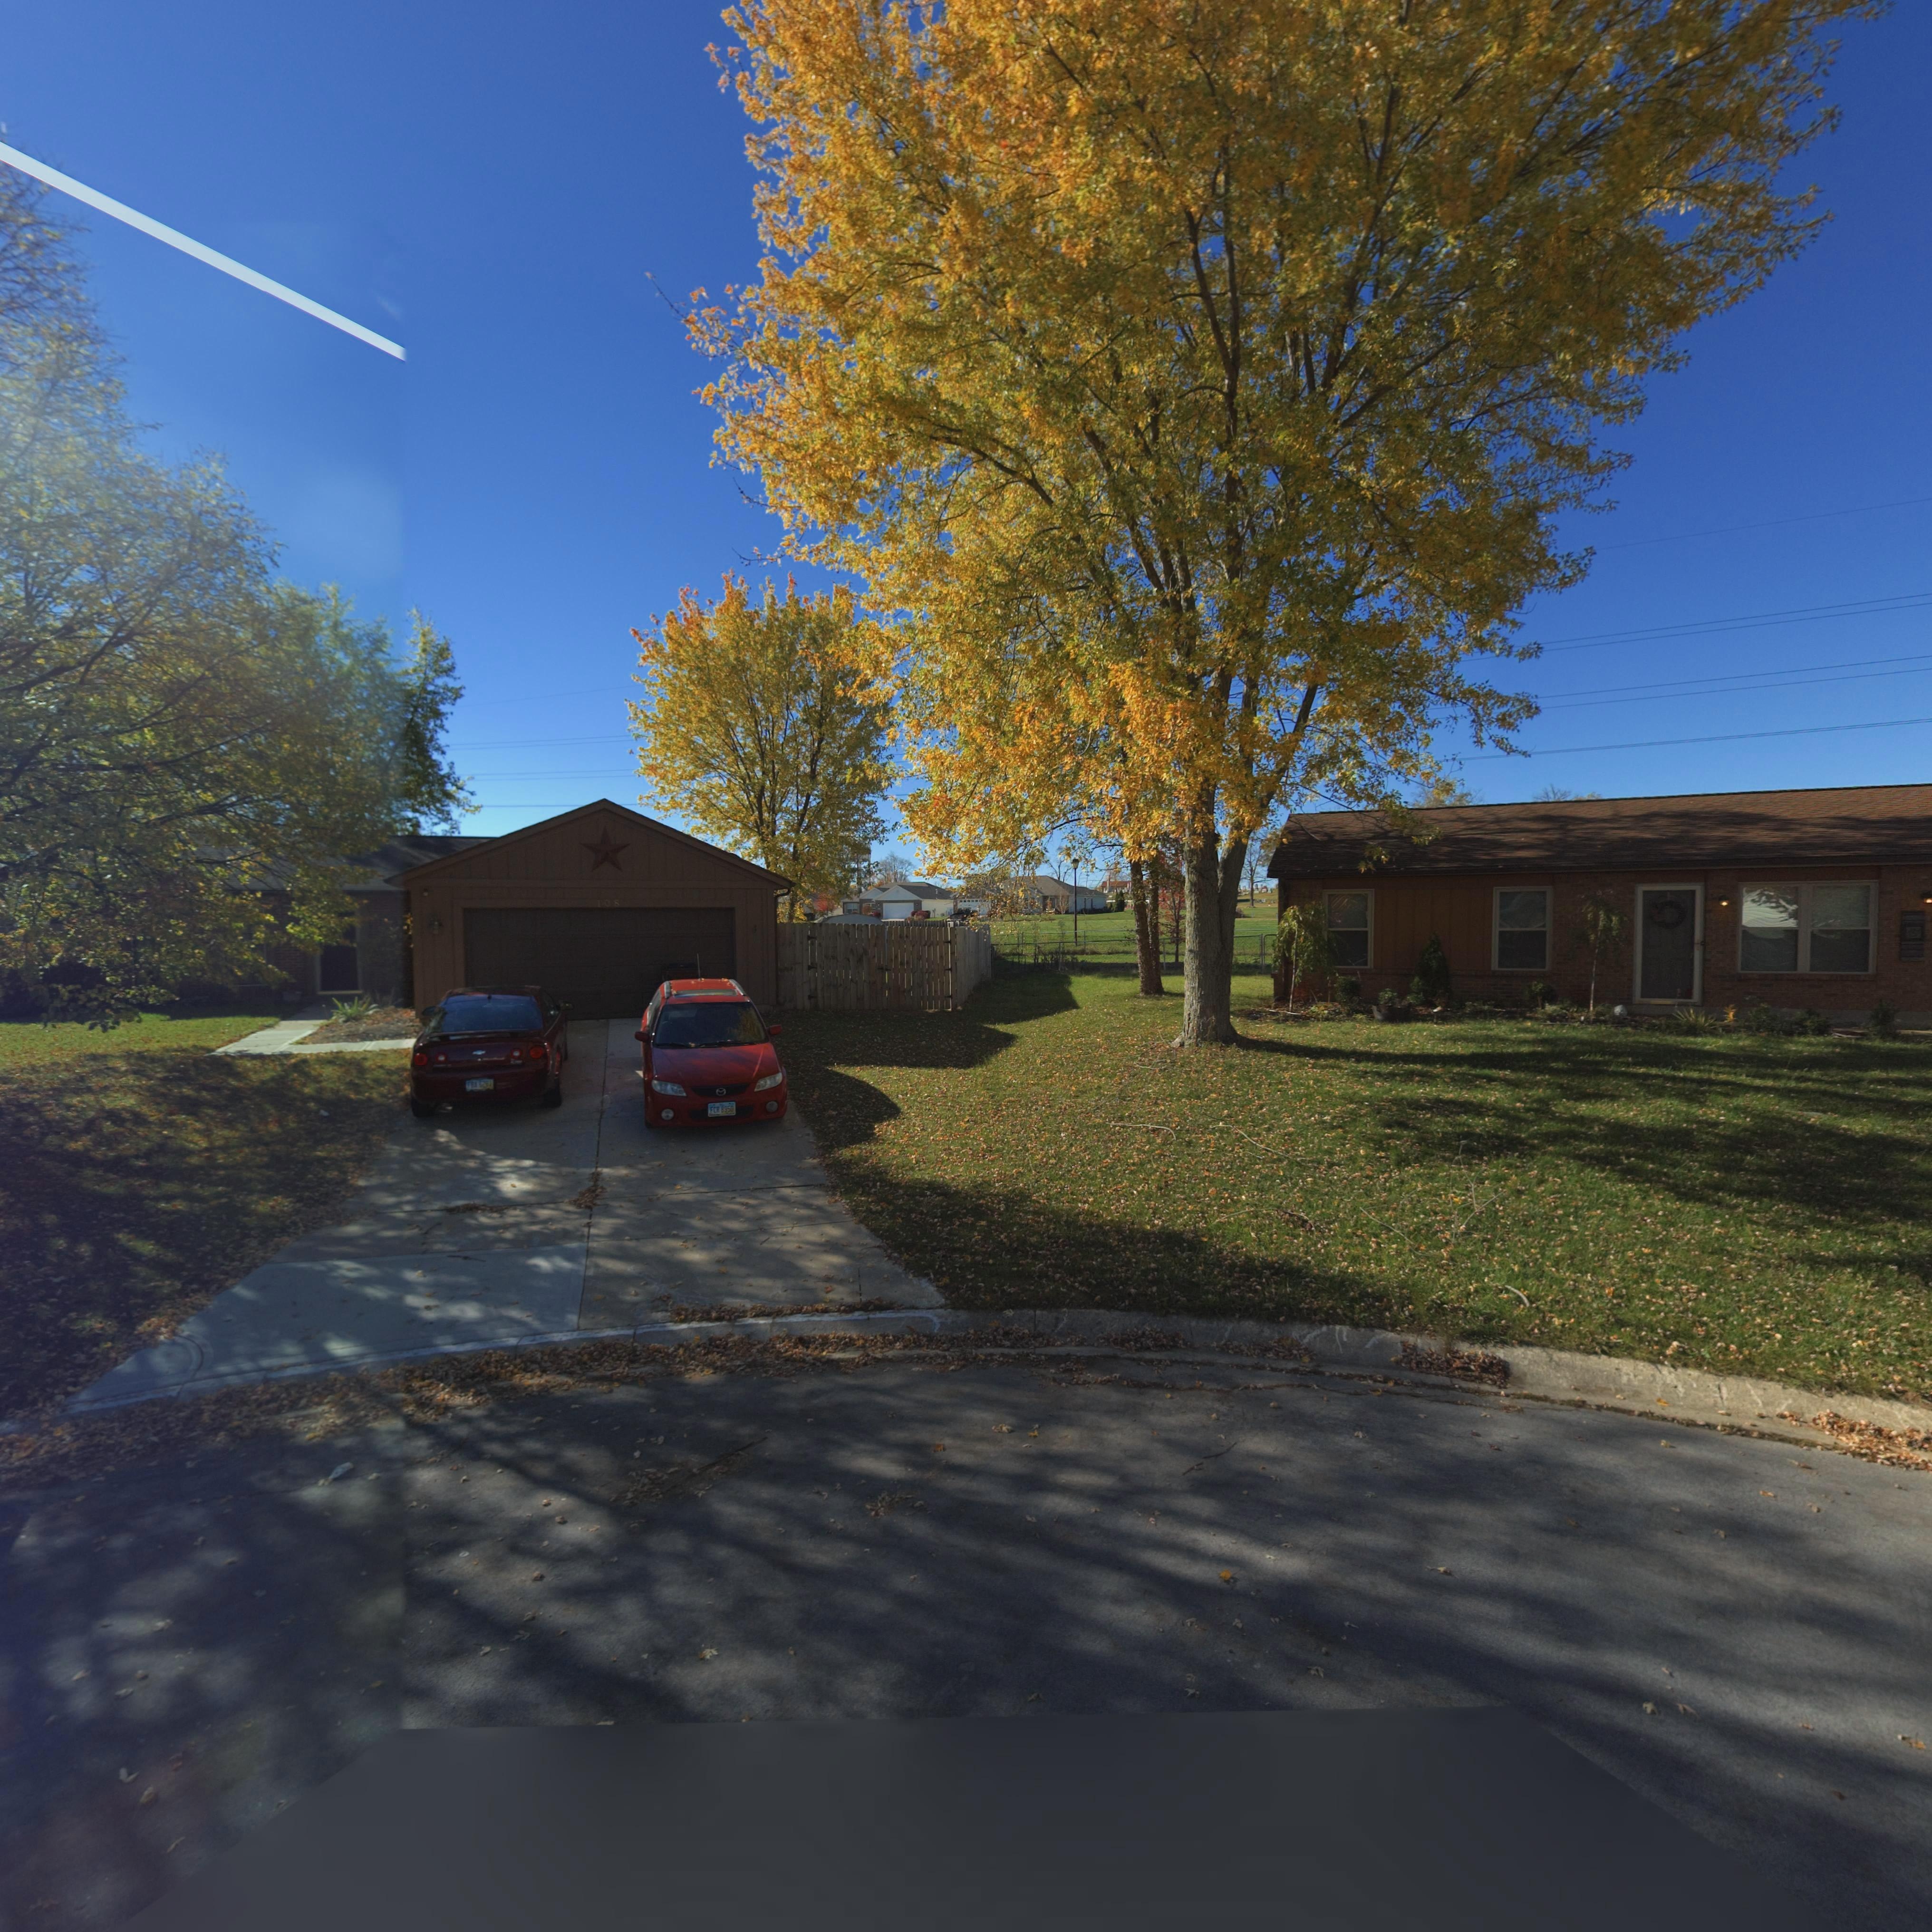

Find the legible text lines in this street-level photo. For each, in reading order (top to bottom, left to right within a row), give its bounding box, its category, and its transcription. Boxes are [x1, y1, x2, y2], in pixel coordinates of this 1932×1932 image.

[596, 898, 620, 908] StreetNumber: 108